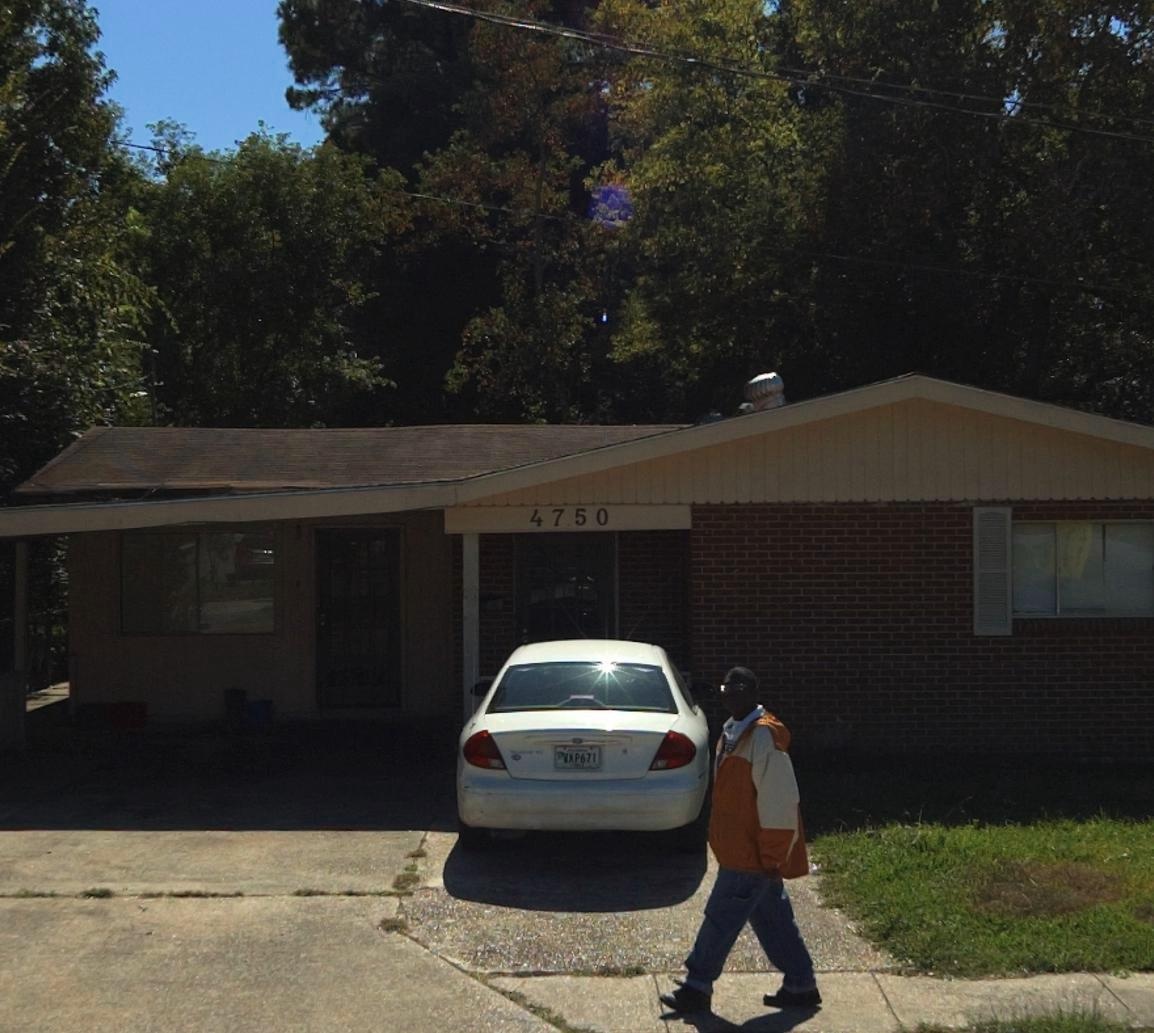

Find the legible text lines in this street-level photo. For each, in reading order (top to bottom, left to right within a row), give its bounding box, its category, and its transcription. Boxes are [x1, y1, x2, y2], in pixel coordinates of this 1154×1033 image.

[528, 507, 611, 528] StreetNumber: 4750
[574, 751, 597, 764] None: P671